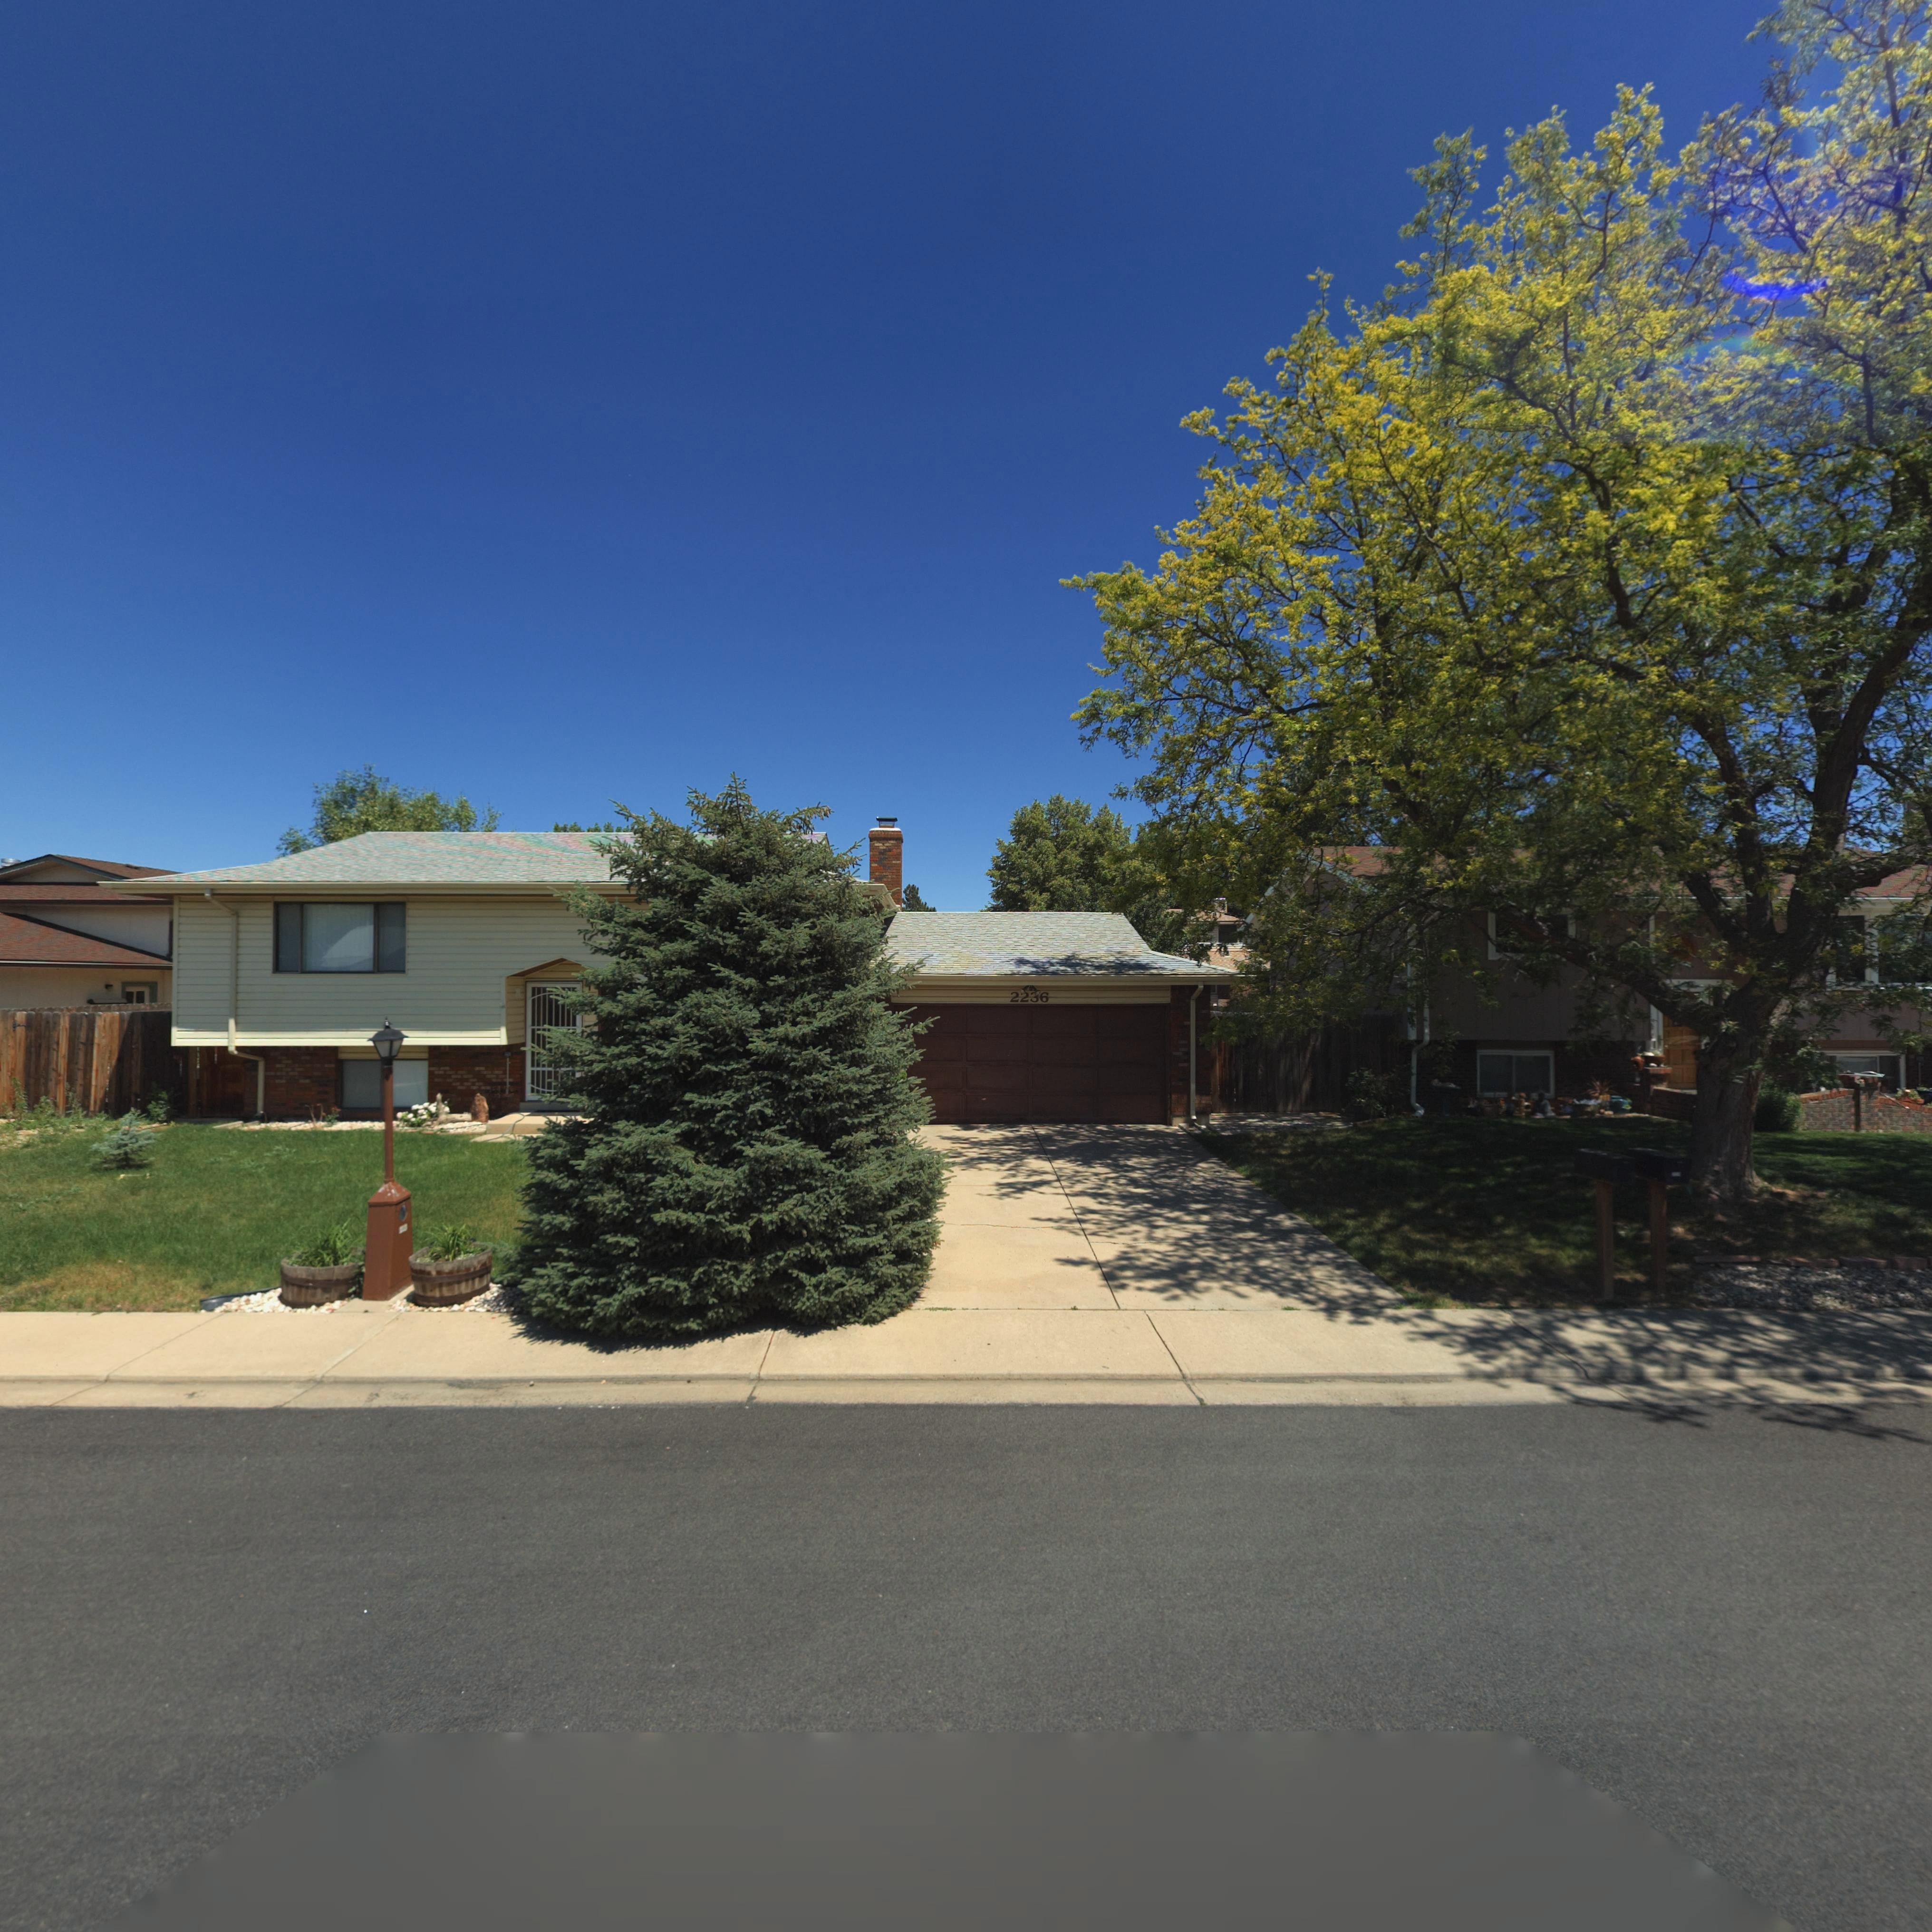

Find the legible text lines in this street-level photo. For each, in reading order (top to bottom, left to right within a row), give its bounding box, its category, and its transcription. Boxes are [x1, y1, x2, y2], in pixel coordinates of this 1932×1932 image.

[1008, 989, 1050, 1003] StreetNumber: 2236